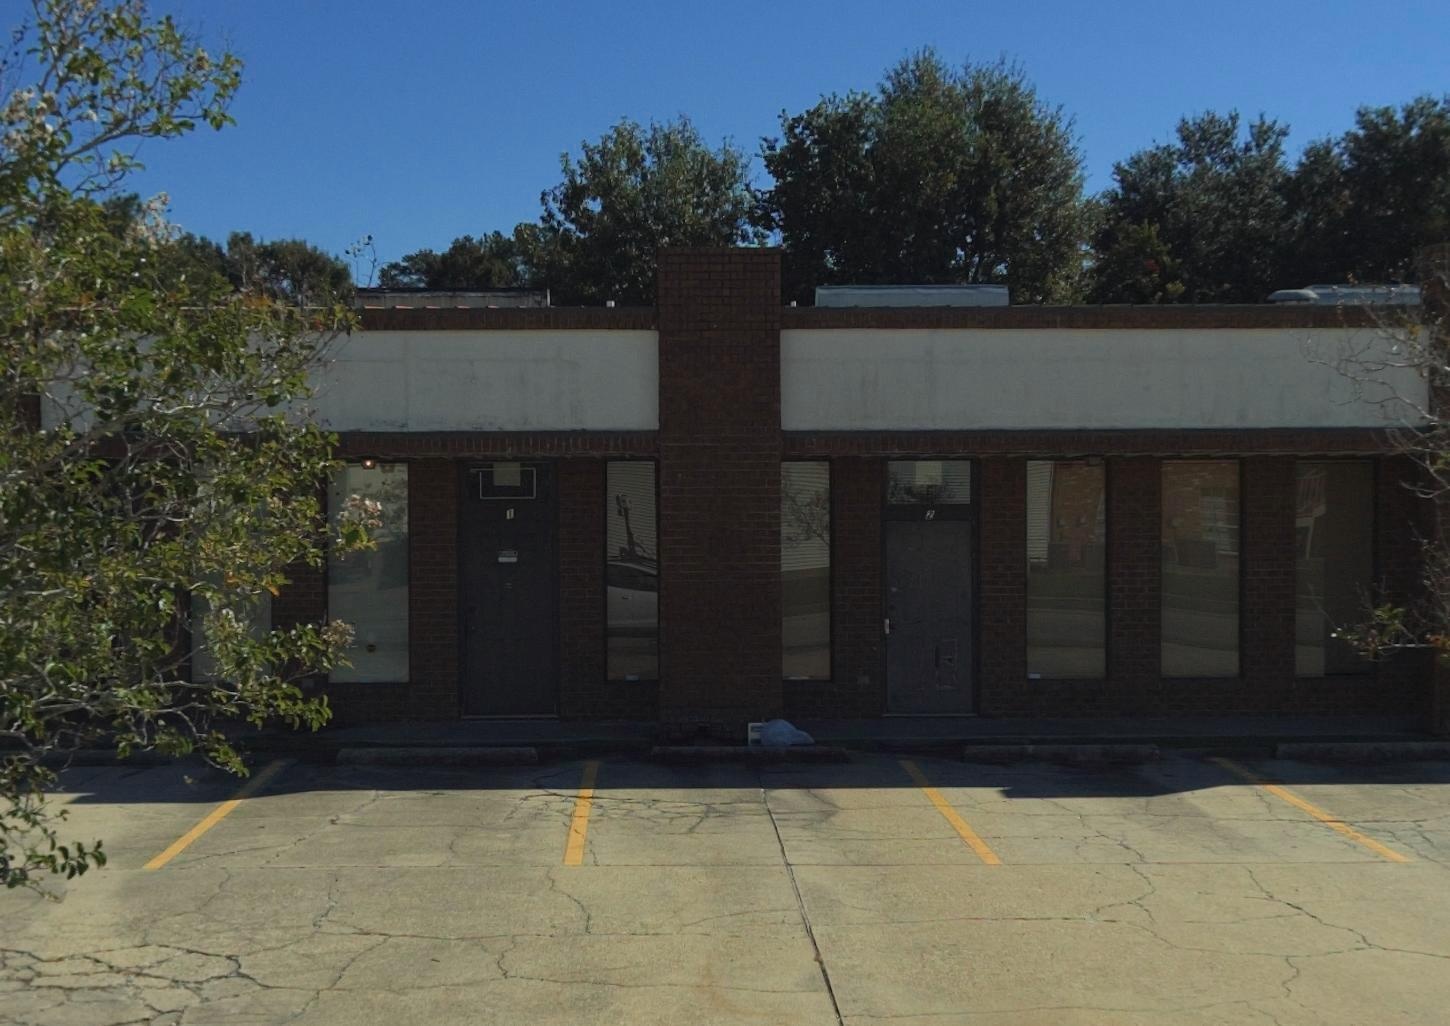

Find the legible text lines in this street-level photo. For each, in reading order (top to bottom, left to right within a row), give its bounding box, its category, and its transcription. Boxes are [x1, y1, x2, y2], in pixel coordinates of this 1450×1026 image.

[506, 507, 515, 521] StreetNumber: 1
[924, 508, 936, 522] StreetNumber: 2